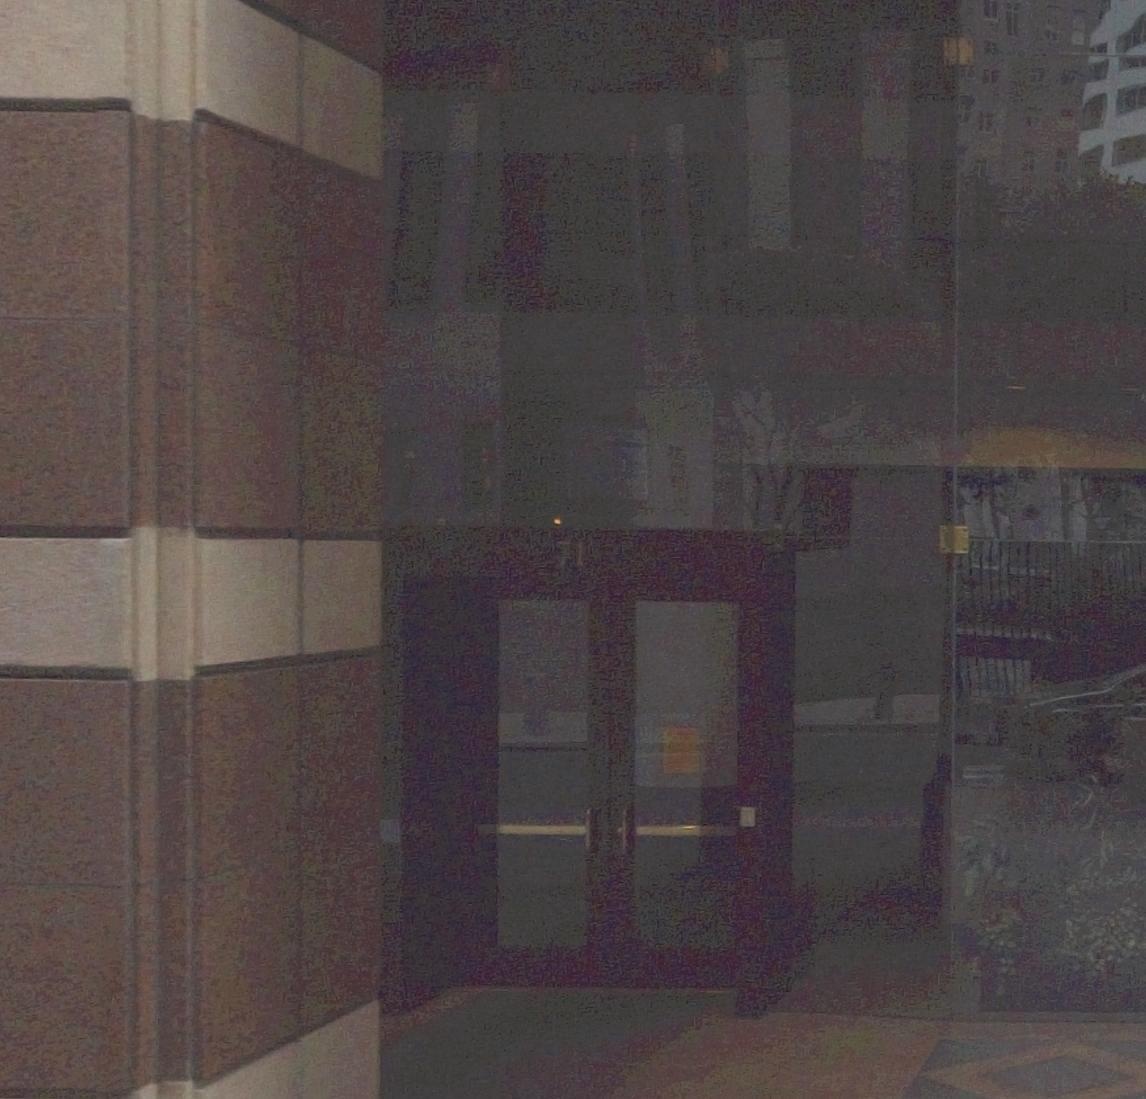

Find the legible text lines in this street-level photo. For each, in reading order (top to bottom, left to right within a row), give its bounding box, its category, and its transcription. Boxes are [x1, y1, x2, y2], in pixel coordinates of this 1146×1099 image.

[553, 538, 588, 571] StreetNumber: 71